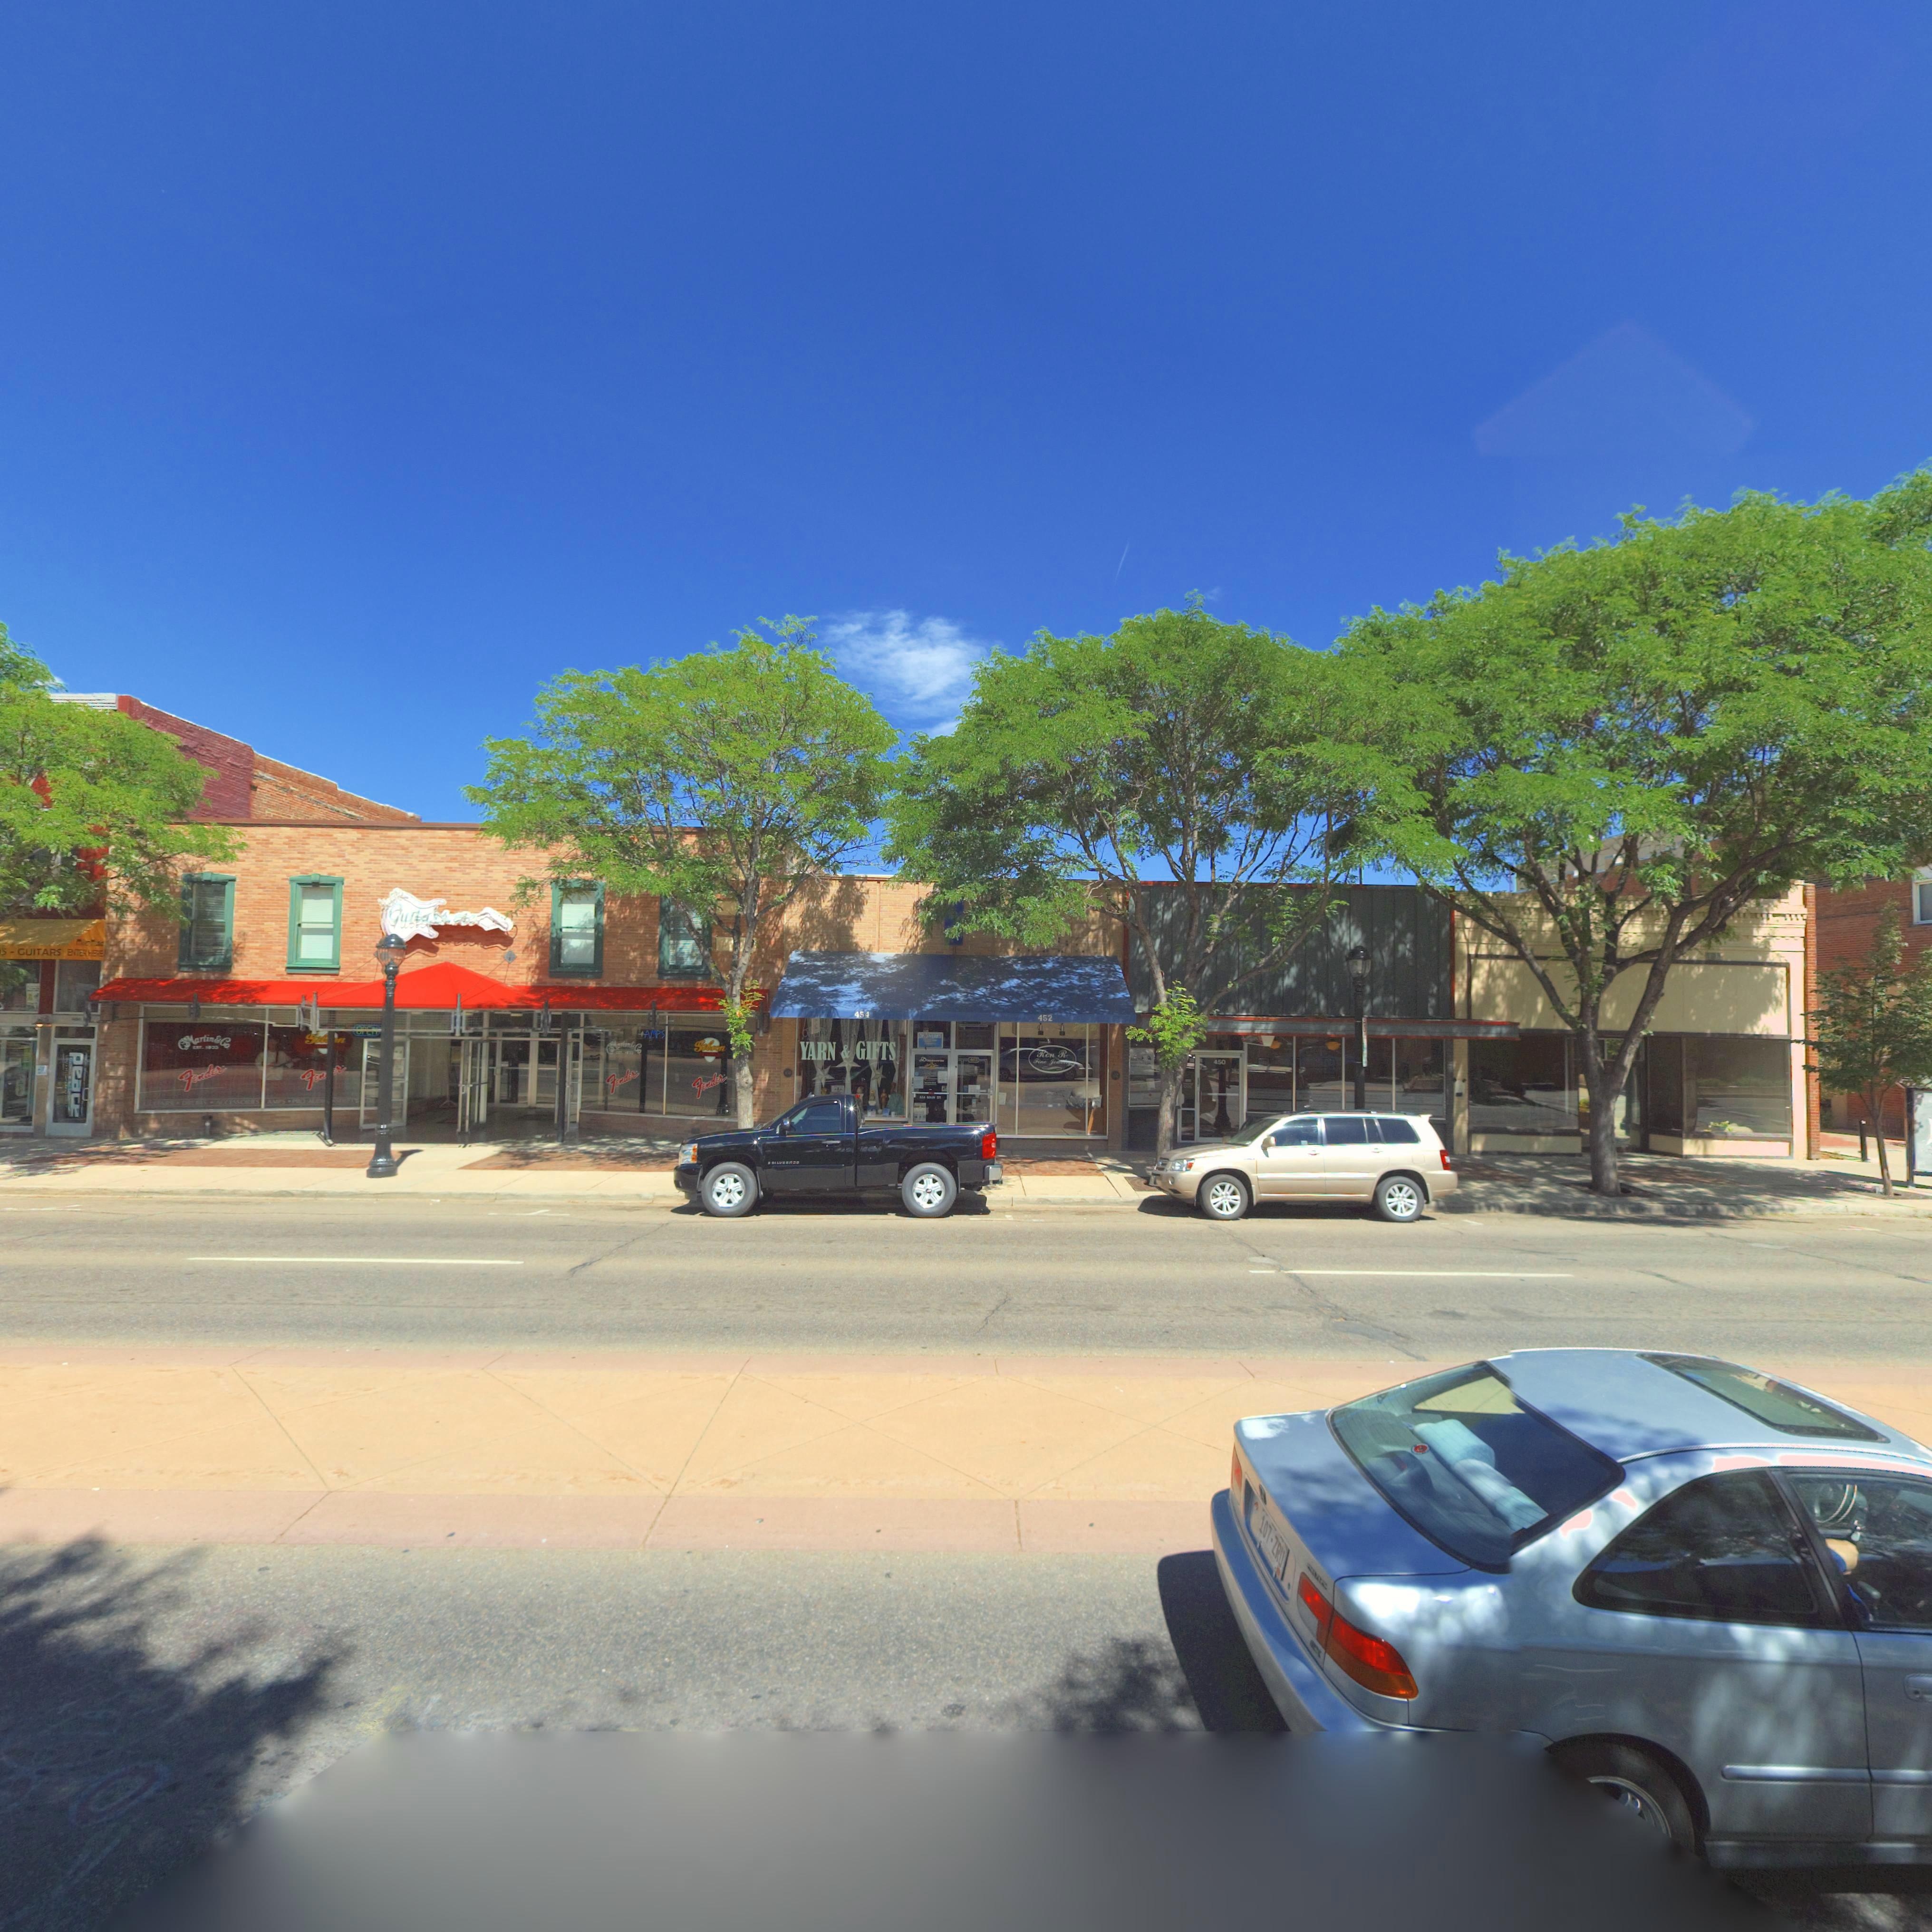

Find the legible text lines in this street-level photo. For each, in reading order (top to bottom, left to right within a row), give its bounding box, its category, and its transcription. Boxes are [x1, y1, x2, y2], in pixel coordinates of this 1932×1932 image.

[386, 901, 450, 924] BusinessName: GUITARS
[854, 1011, 869, 1018] StreetNumber: 454
[1037, 1014, 1053, 1022] StreetNumber: 452
[918, 1034, 942, 1038] BusinessName: DR***RES
[1035, 1049, 1069, 1058] BusinessName: Ron R.
[969, 1057, 977, 1062] StreetNumber: 452
[1033, 1058, 1072, 1066] BusinessName: Fine J******
[1213, 1059, 1226, 1064] StreetNumber: 450
[919, 1095, 925, 1099] StreetNumber: 454
[926, 1095, 941, 1099] StreetName: MAIN ST